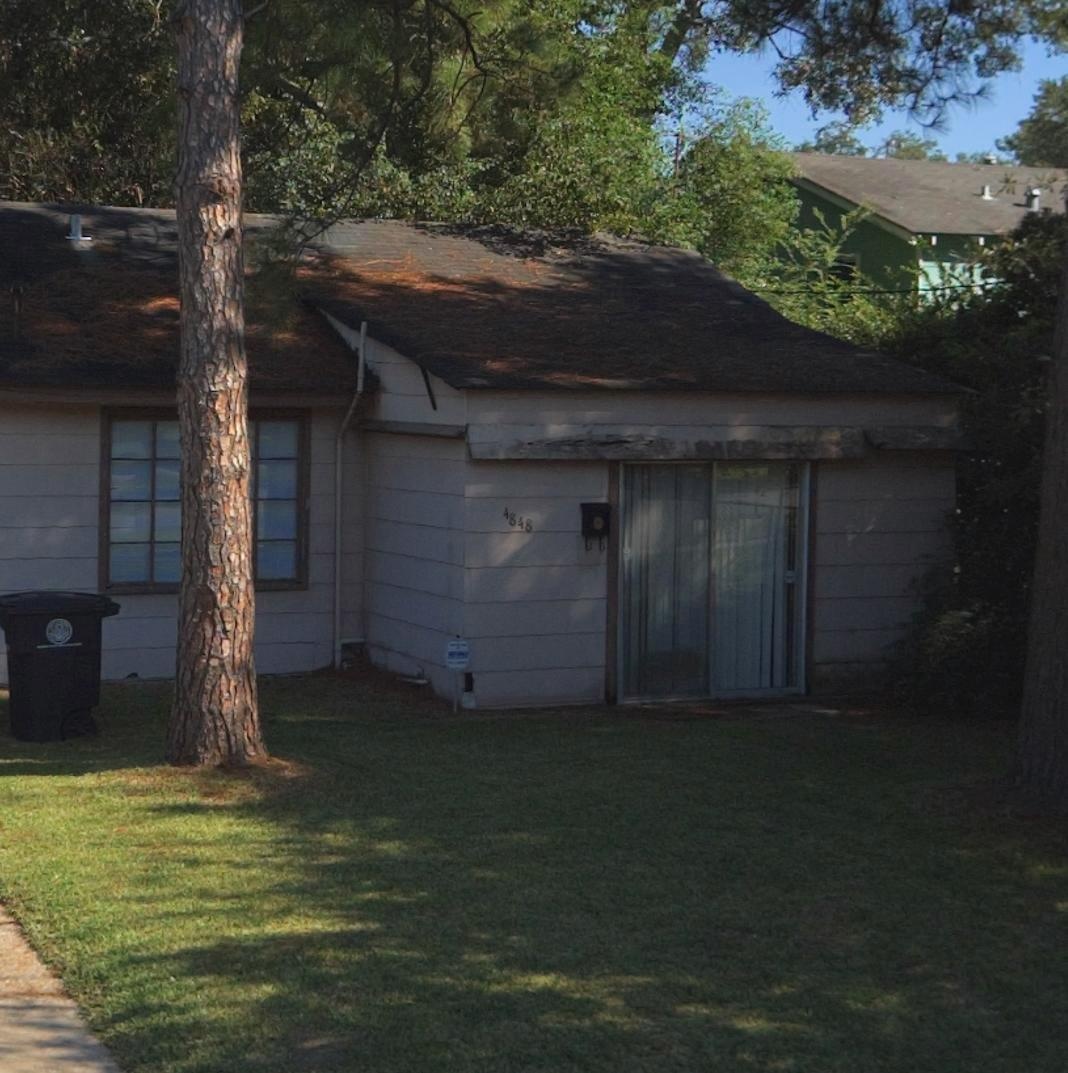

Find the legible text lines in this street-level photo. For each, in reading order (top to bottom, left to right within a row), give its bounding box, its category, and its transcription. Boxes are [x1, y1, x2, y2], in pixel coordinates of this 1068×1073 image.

[502, 506, 533, 534] StreetNumber: 4848